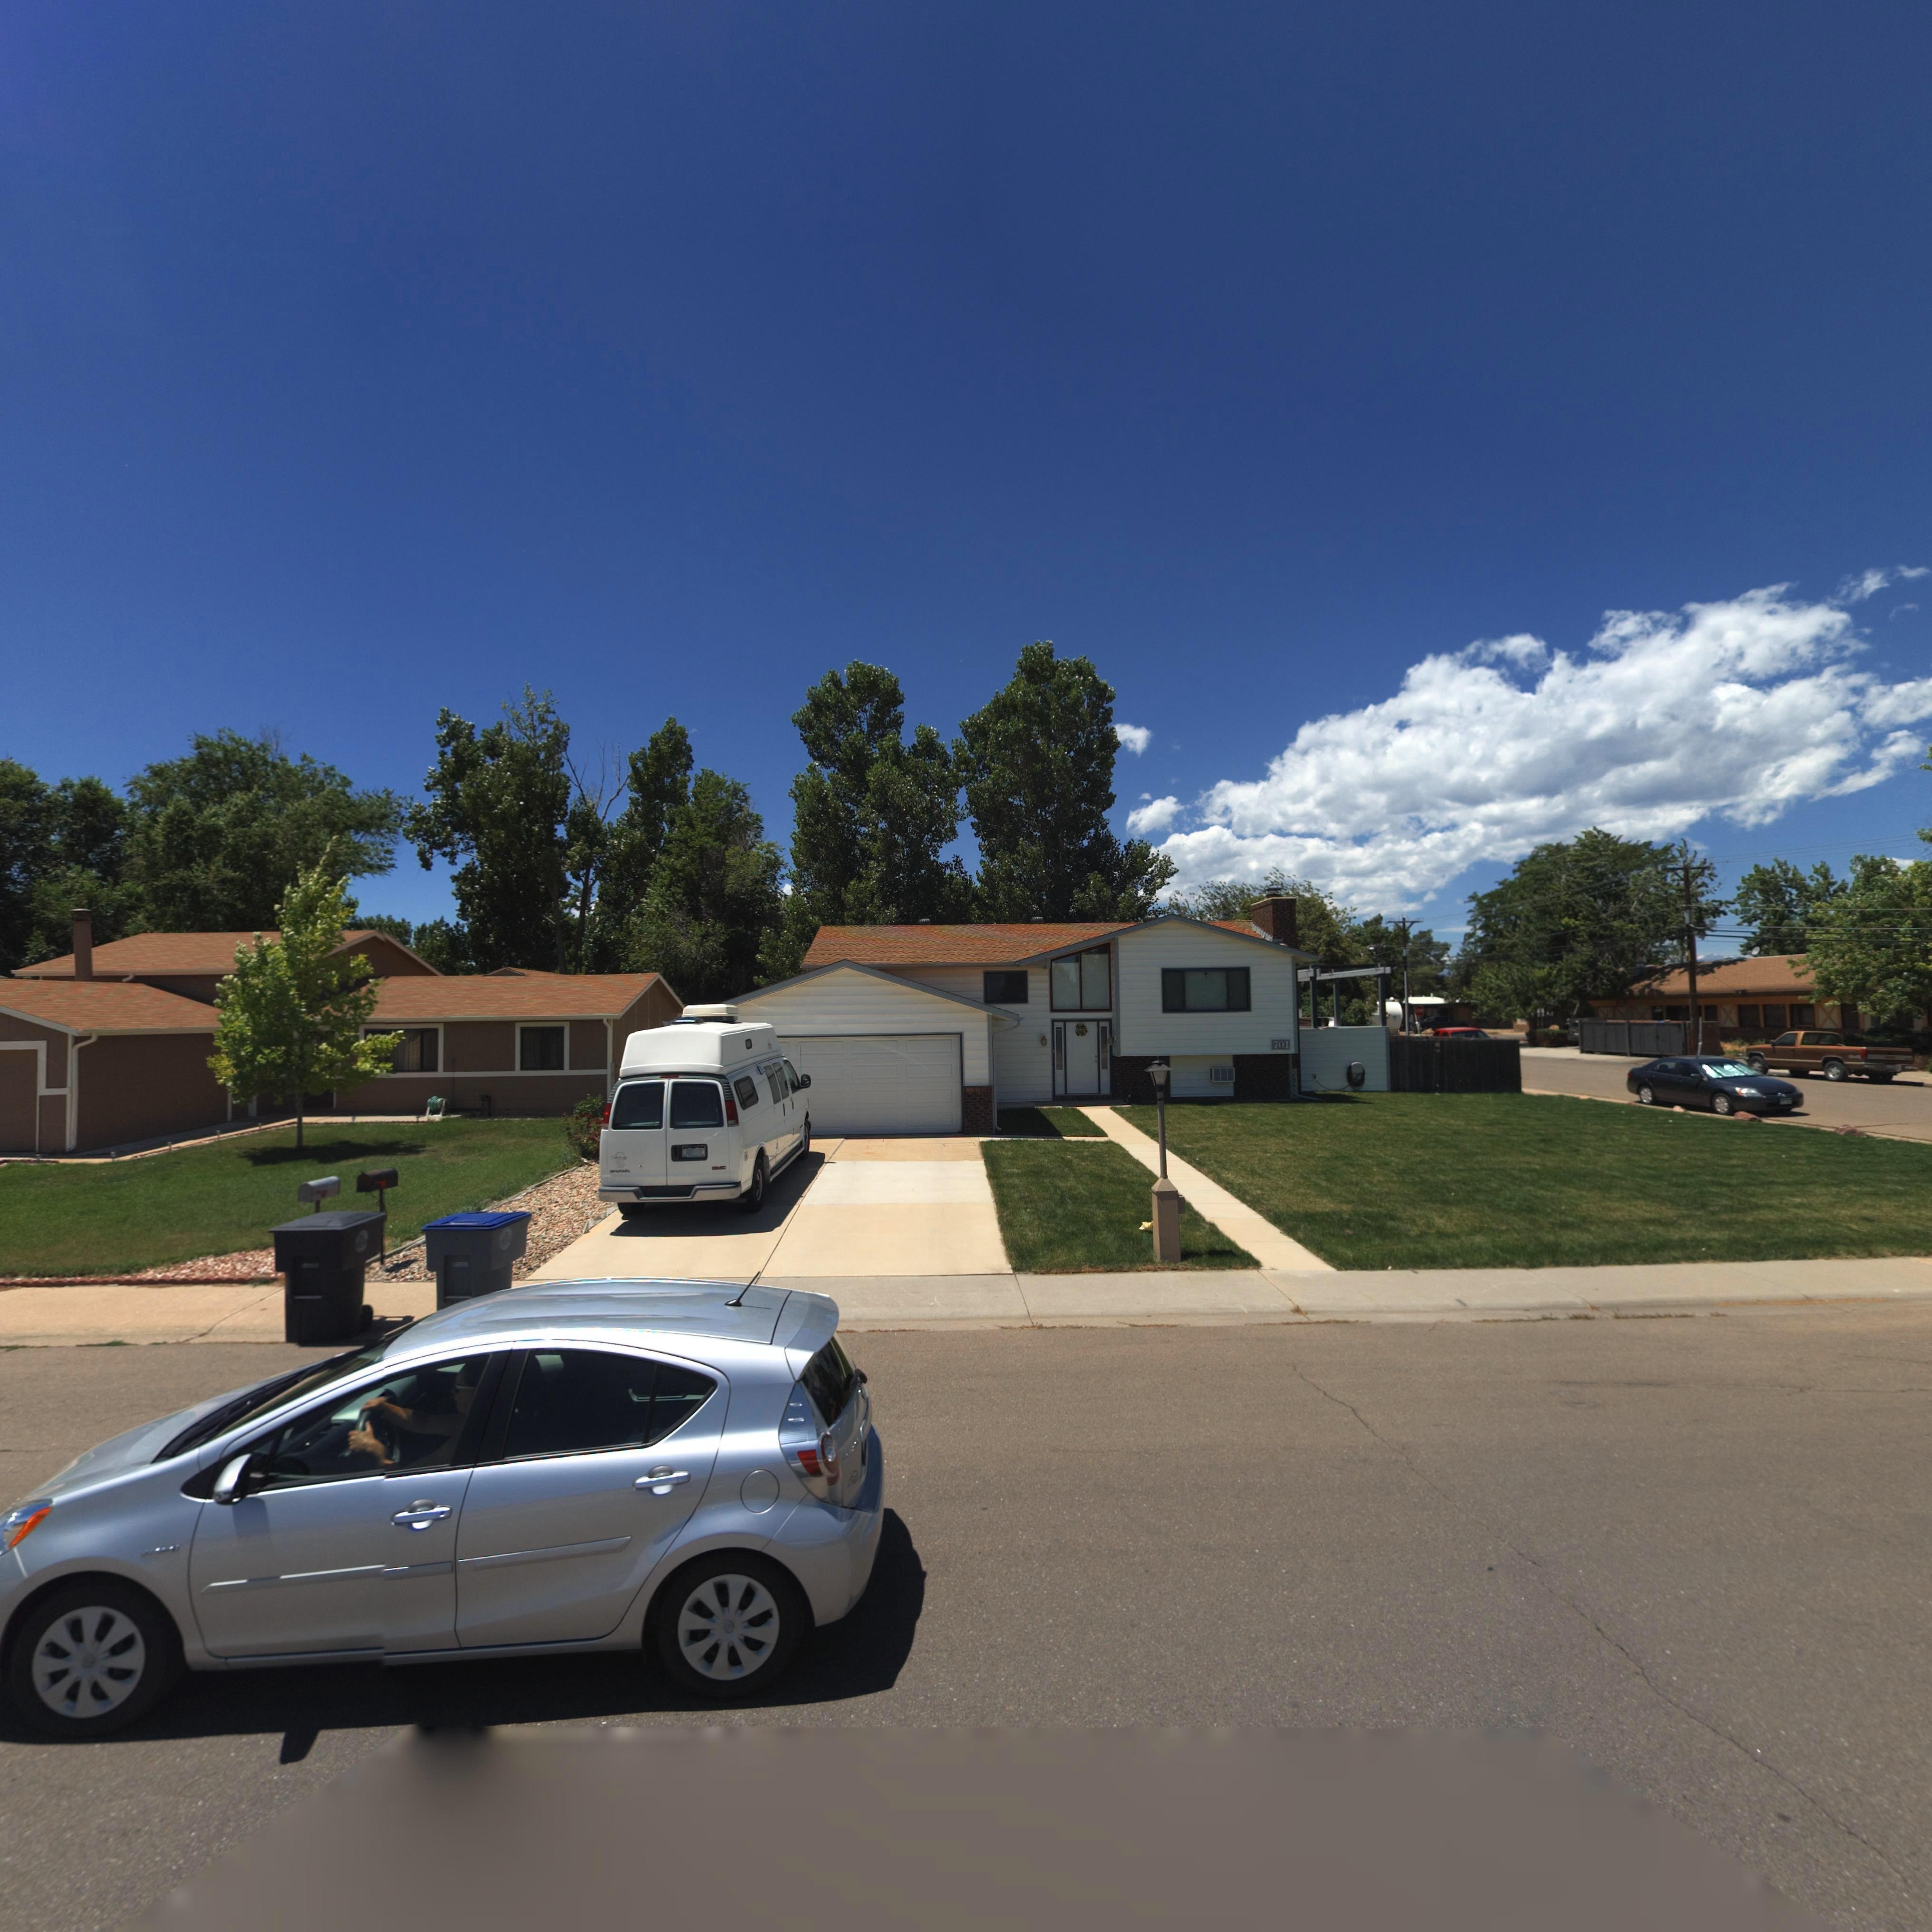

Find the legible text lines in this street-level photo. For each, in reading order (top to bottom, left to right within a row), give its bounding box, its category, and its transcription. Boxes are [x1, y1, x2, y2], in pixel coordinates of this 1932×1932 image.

[1273, 1041, 1289, 1049] StreetNumber: 701